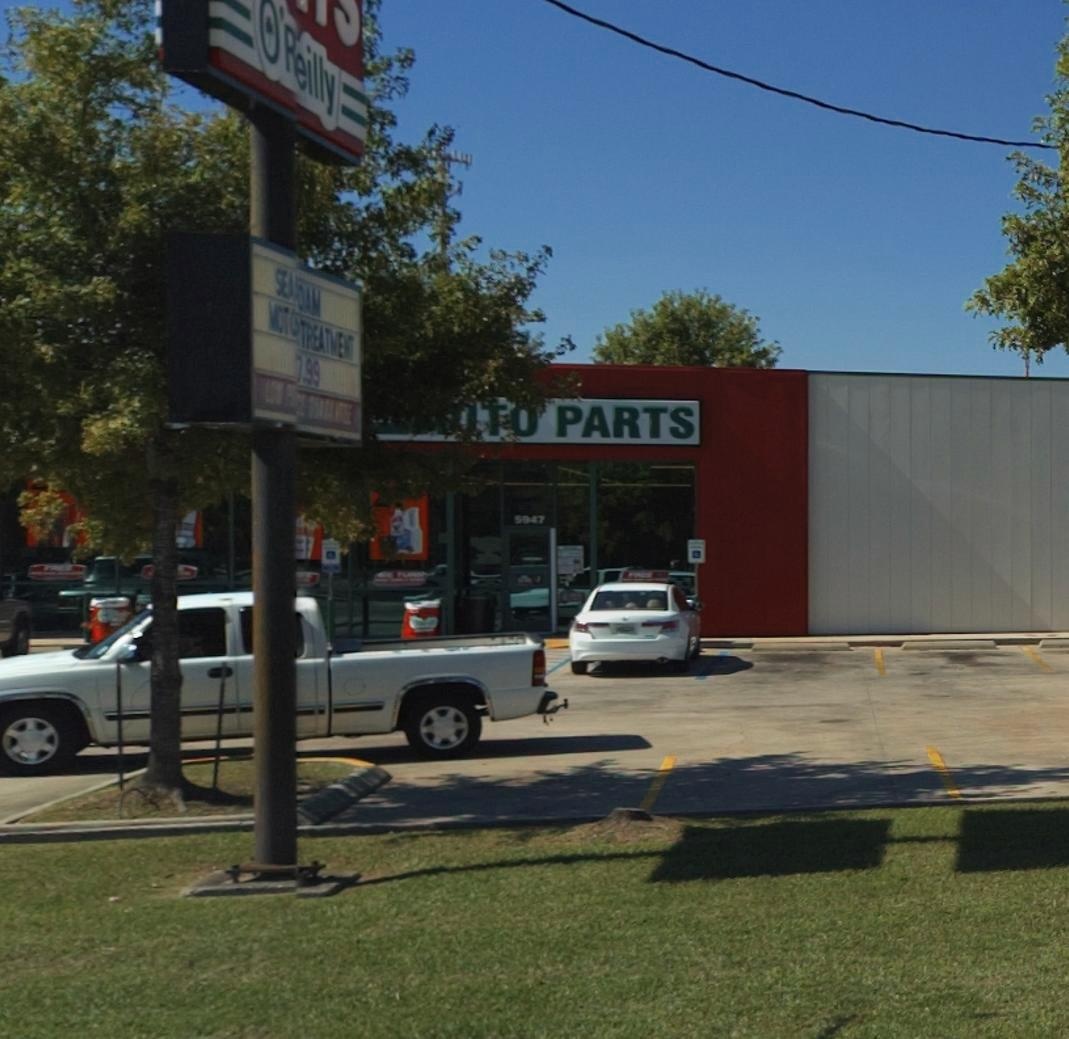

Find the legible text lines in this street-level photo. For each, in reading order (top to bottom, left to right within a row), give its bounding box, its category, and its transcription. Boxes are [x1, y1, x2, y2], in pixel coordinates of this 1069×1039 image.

[283, 20, 337, 121] BusinessName: *eilly
[265, 298, 293, 337] None: MOT
[272, 263, 293, 303] None: SE
[295, 281, 326, 322] None: OAM
[298, 316, 357, 364] None: TREATMENT
[302, 355, 323, 390] None: 99
[554, 403, 698, 441] BusinessName: PARTS
[514, 514, 546, 525] StreetNumber: 5947